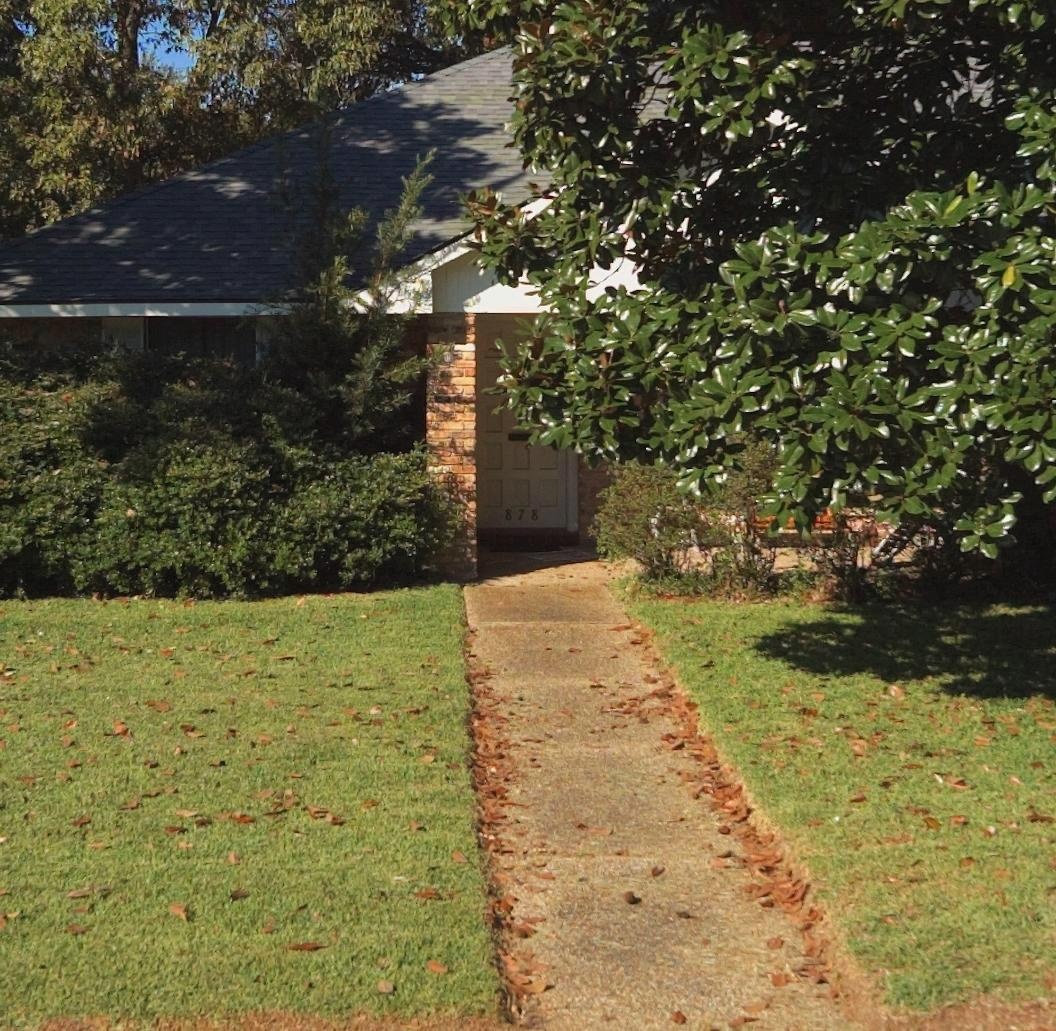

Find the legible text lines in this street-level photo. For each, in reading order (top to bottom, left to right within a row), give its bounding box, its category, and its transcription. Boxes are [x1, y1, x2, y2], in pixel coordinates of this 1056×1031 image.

[504, 507, 540, 523] StreetNumber: 878